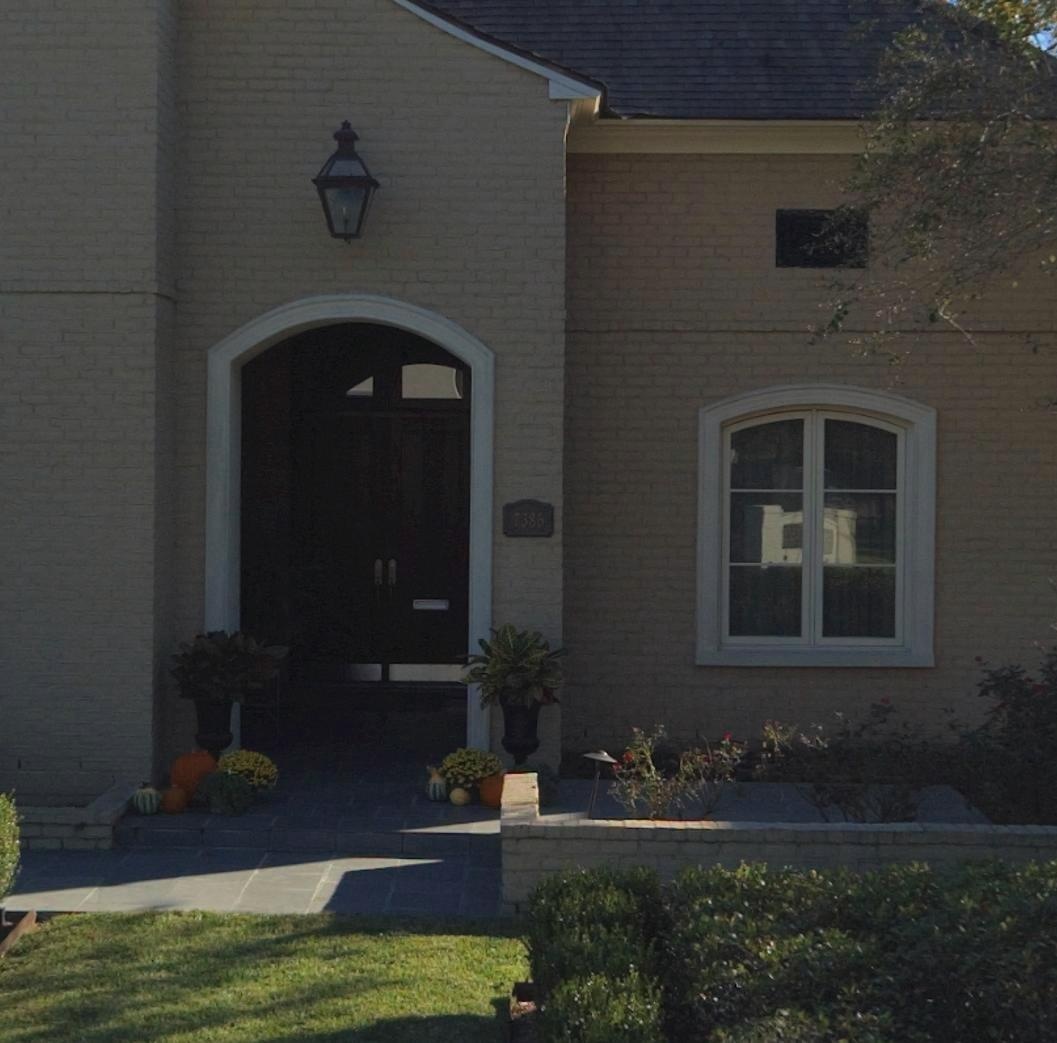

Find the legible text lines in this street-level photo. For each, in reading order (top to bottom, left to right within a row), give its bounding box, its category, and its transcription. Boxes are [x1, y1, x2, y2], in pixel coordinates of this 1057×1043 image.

[512, 511, 546, 530] StreetNumber: 7386